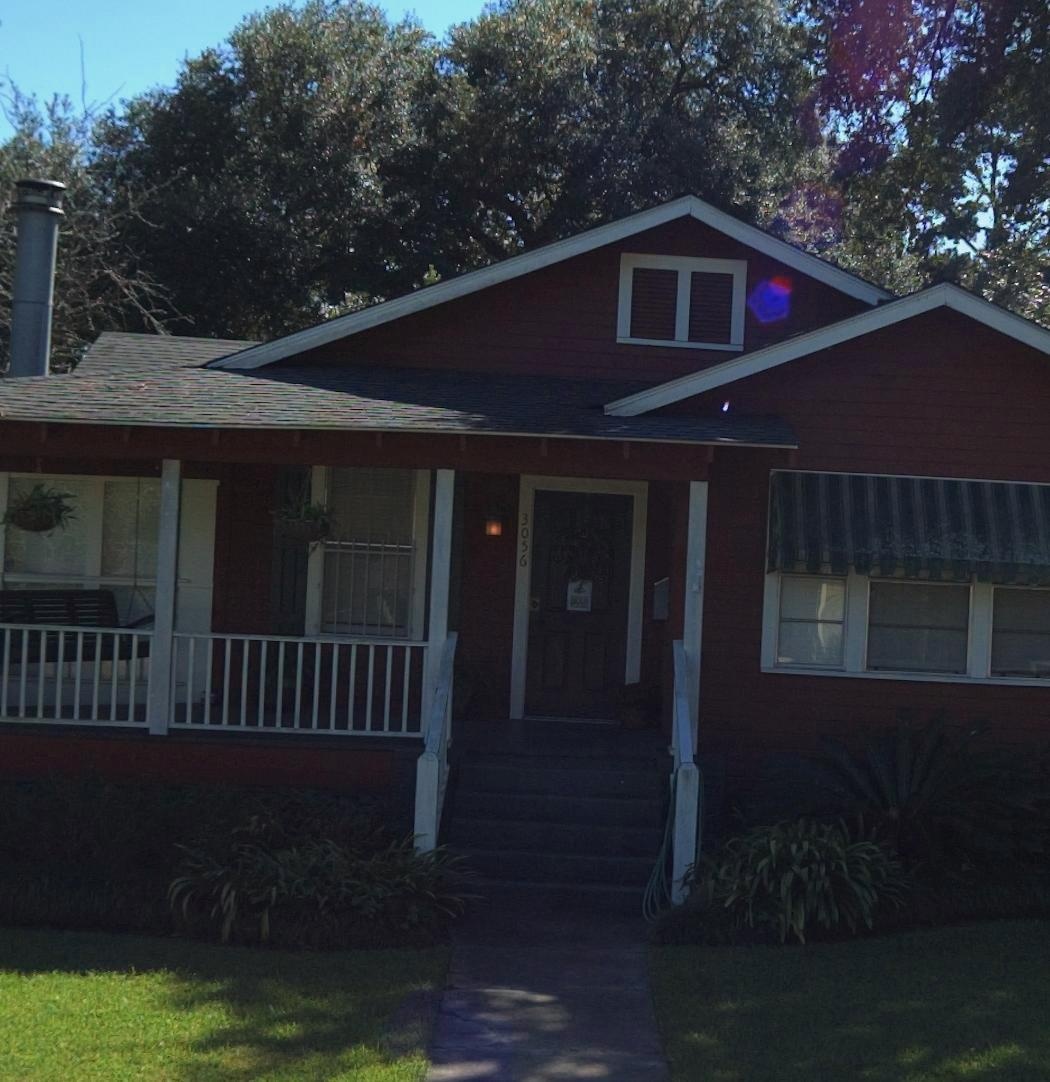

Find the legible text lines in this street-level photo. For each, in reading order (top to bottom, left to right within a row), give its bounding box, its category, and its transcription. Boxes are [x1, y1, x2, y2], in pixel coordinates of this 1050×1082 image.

[517, 511, 531, 569] StreetNumber: 3056